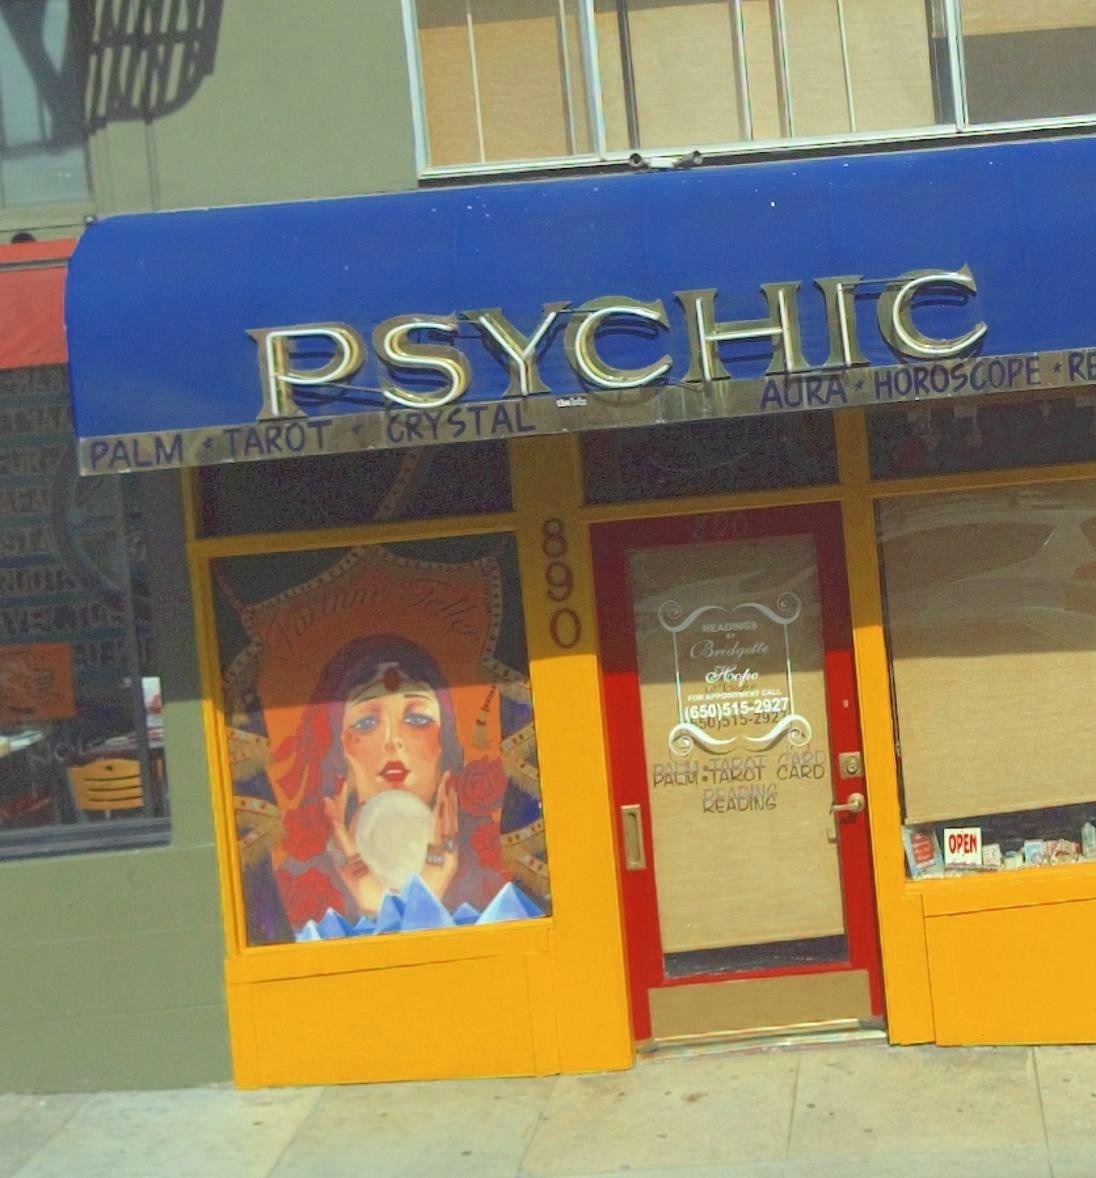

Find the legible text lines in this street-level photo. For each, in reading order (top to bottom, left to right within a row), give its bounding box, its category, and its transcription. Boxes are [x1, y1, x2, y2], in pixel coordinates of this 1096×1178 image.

[237, 255, 996, 429] BusinessName: PSYCHIC
[755, 346, 1094, 416] None: AURA * HOROSCOPE * R
[82, 396, 545, 477] None: PALM * TAROT * CRYSTAL
[11, 482, 56, 521] None: EA
[0, 524, 38, 562] None: ST
[685, 507, 756, 549] None: 890
[9, 561, 69, 602] None: U*T
[536, 512, 586, 656] StreetNumber: 890
[0, 594, 115, 640] None: VE*TO
[697, 616, 763, 637] None: HEADINGS
[79, 635, 109, 676] None: O
[694, 636, 774, 665] None: Bridgette
[684, 686, 784, 706] None: FOR APPO*NTMENT CALL
[682, 695, 790, 726] None: (650)515-2927
[709, 662, 764, 693] None: Aopo
[15, 733, 85, 780] None: NO
[648, 760, 830, 793] None: PALM*TAROT CARD
[696, 790, 782, 819] None: READING
[942, 827, 981, 859] None: OPEN